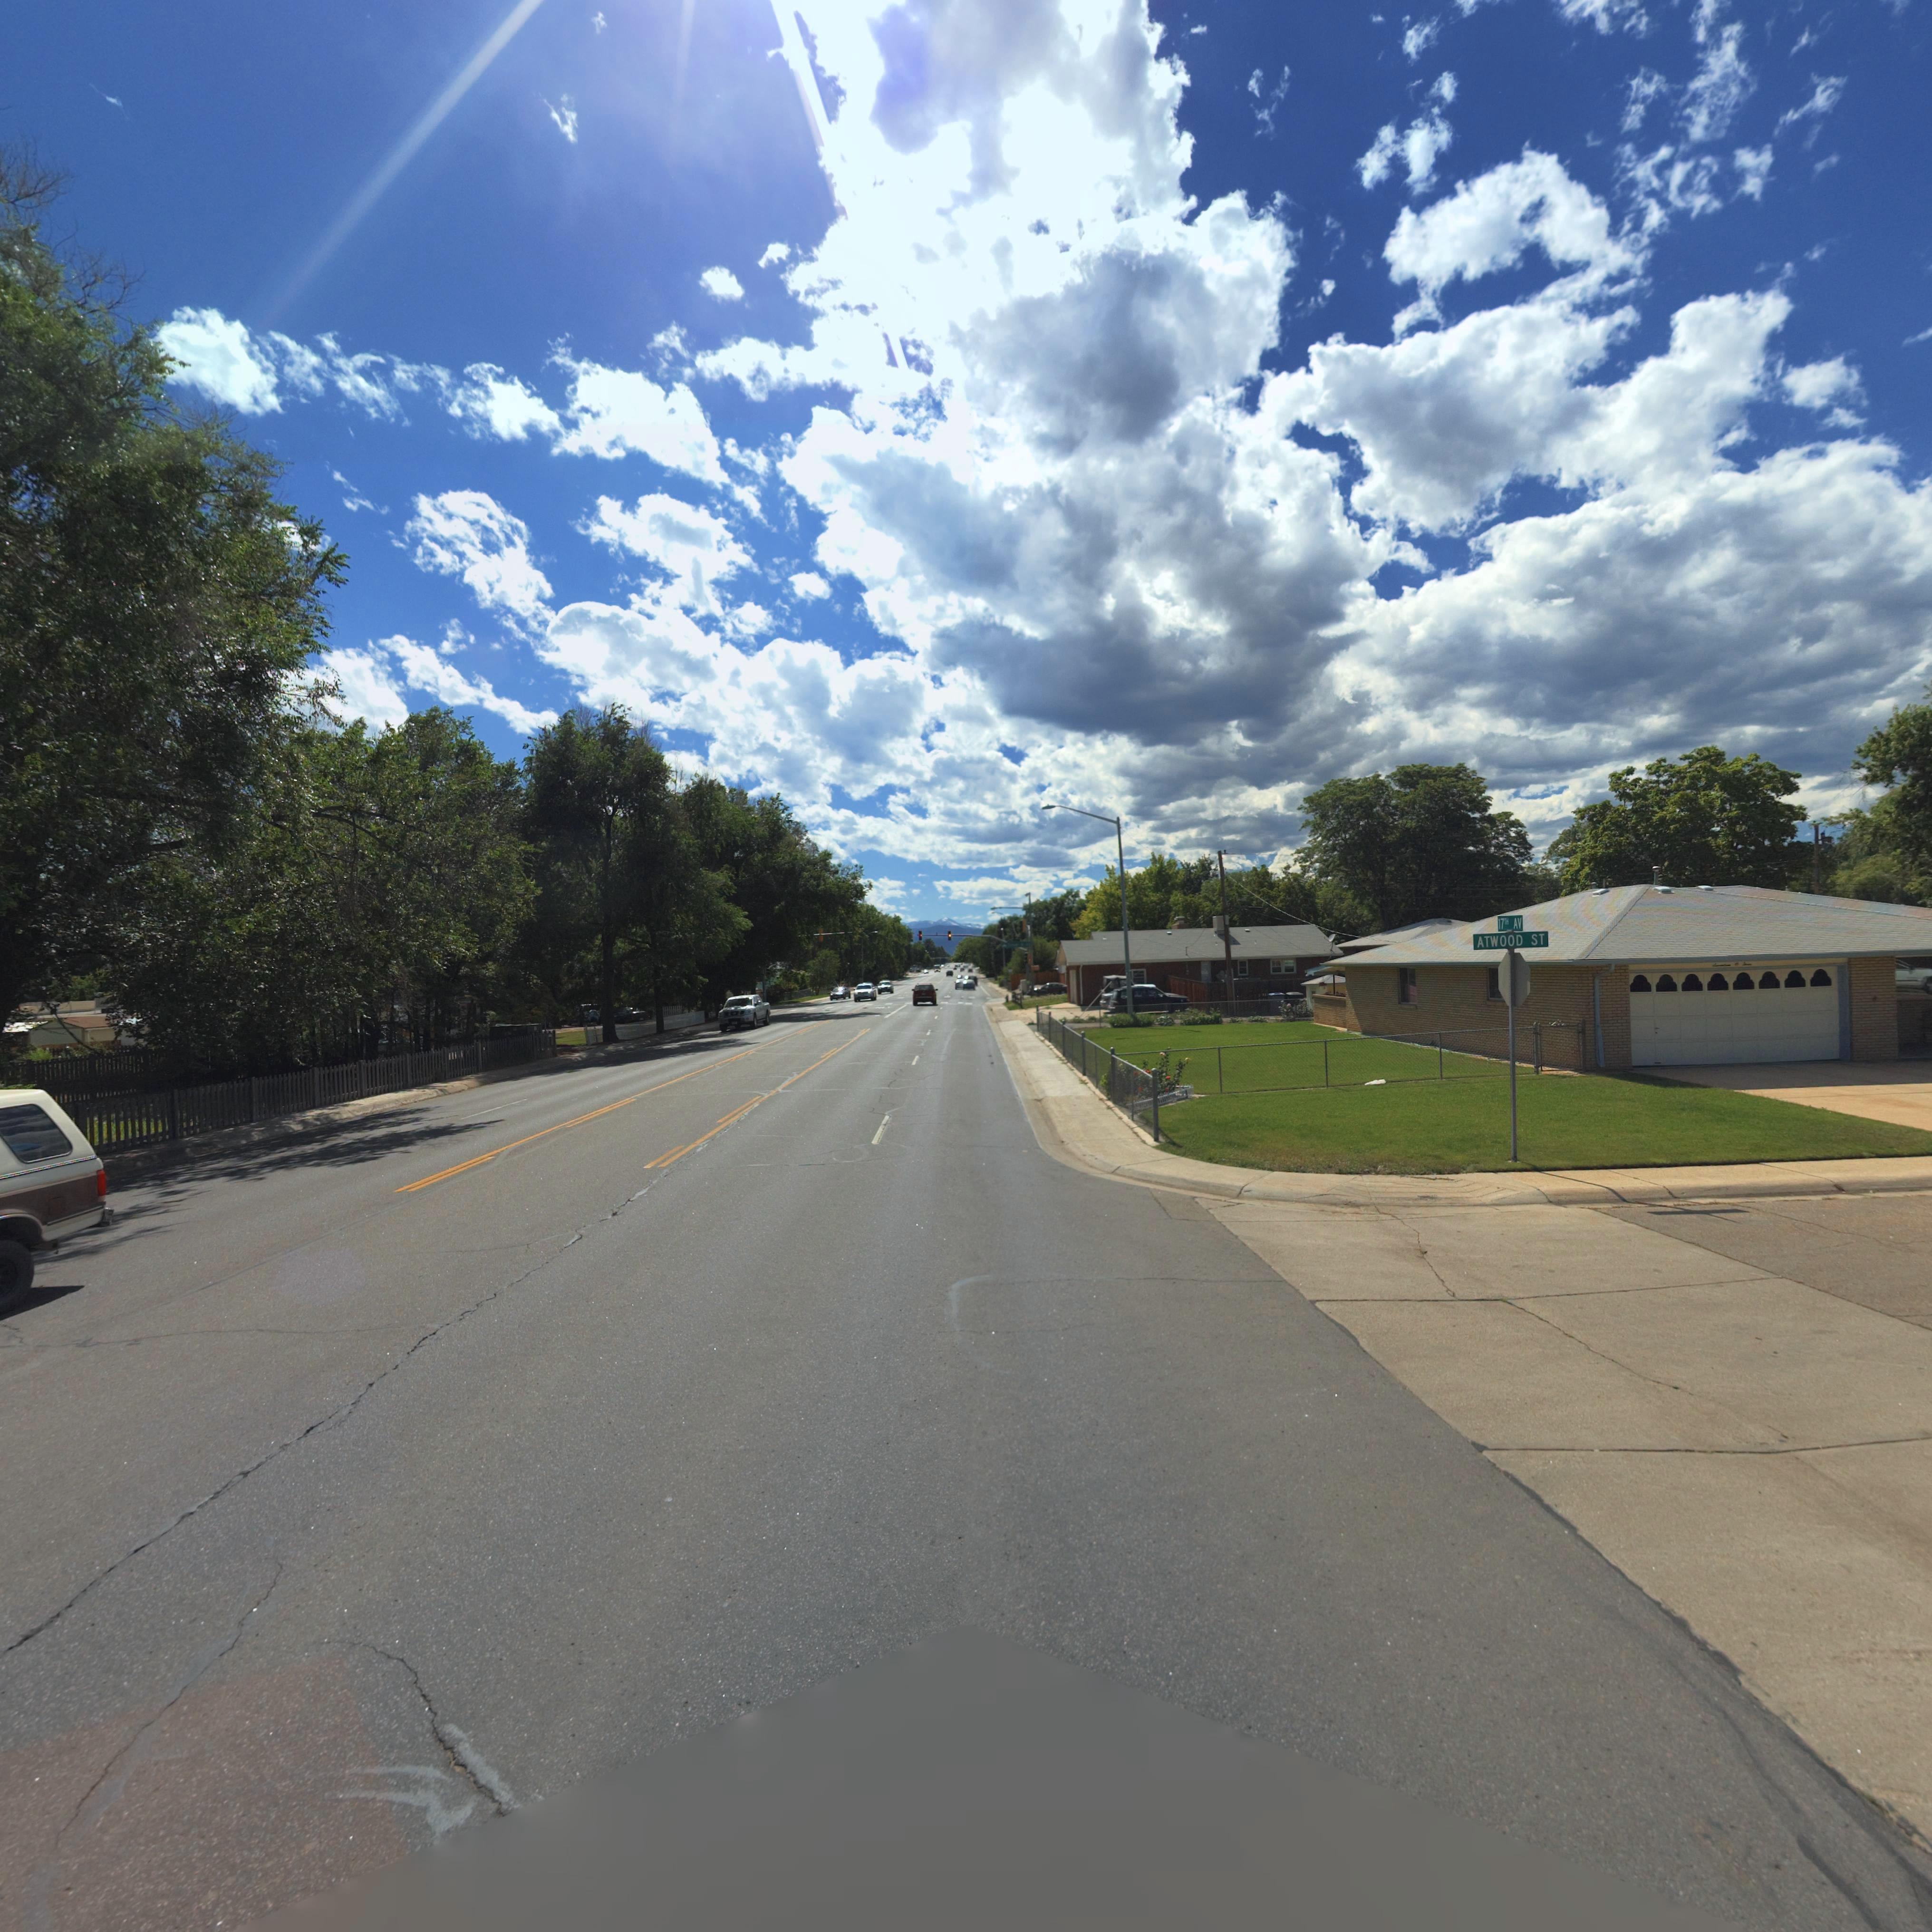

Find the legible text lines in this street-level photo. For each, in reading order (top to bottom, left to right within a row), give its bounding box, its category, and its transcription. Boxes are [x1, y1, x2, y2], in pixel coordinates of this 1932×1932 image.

[1498, 917, 1522, 929] StreetName: 17*H AV
[1477, 933, 1545, 948] StreetName: ATWOOD ST